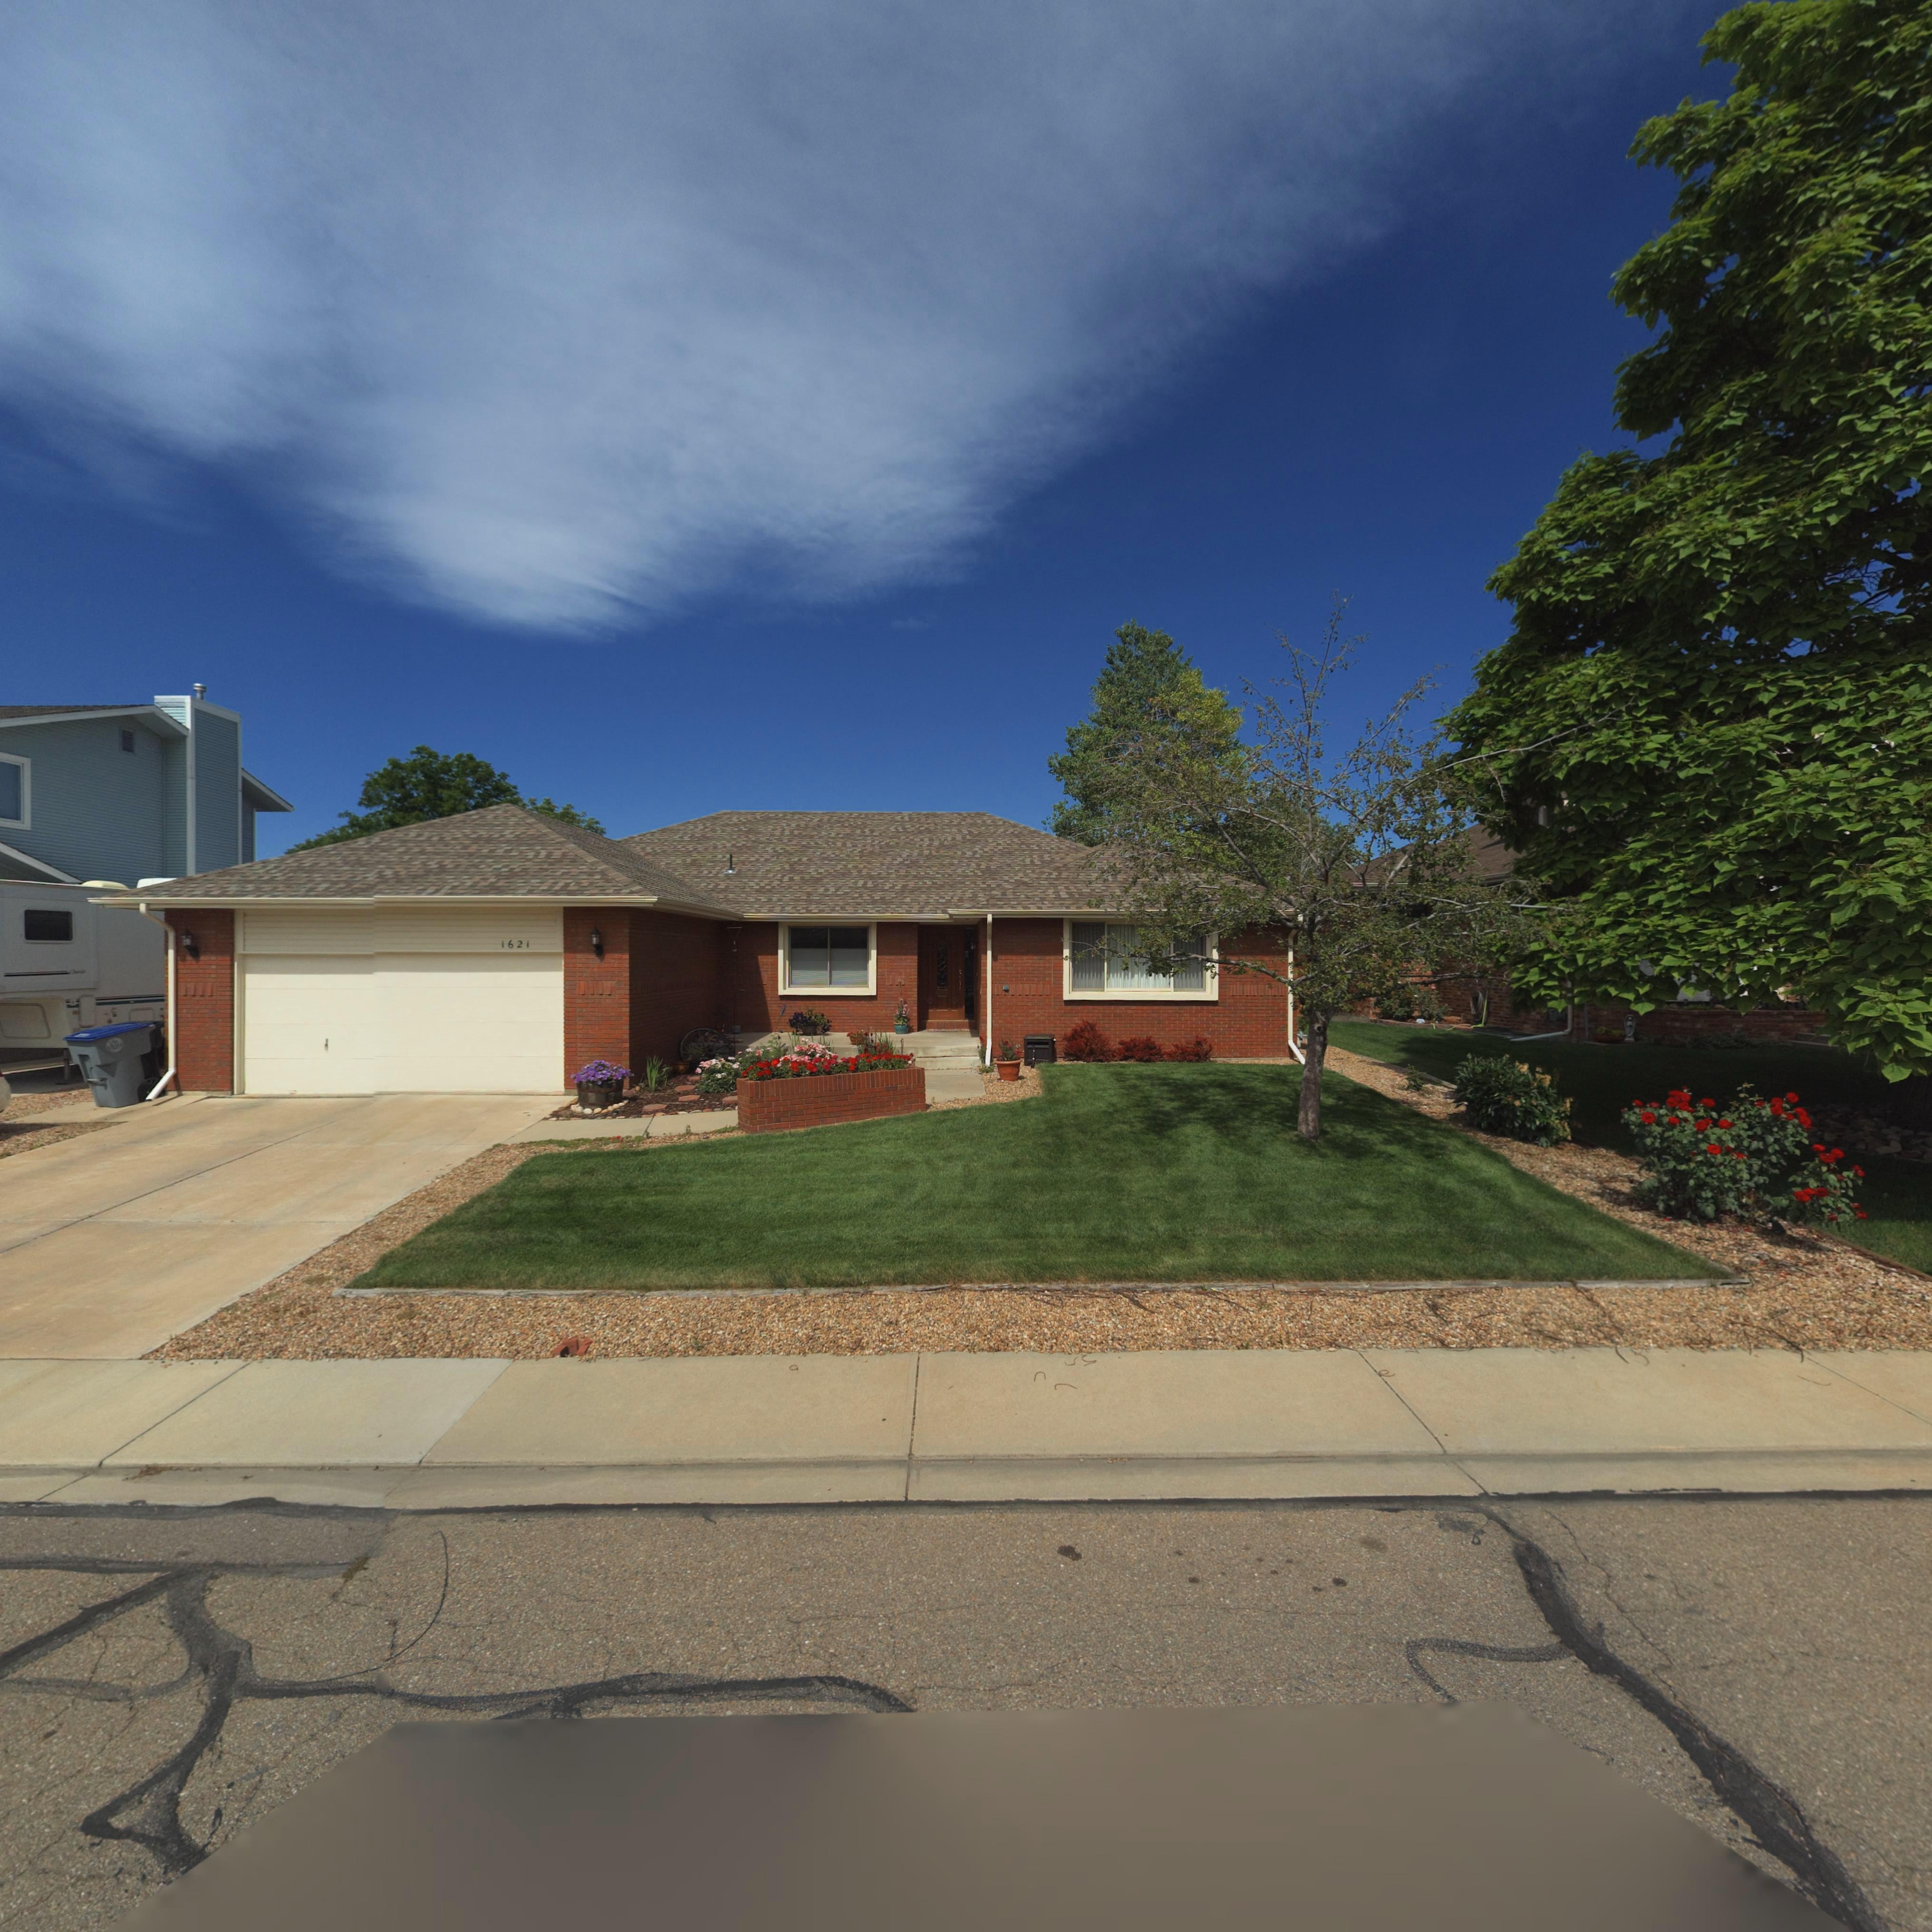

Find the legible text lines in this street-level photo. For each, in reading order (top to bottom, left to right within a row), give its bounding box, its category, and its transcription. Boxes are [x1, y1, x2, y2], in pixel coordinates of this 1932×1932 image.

[500, 939, 530, 948] StreetNumber: 1621